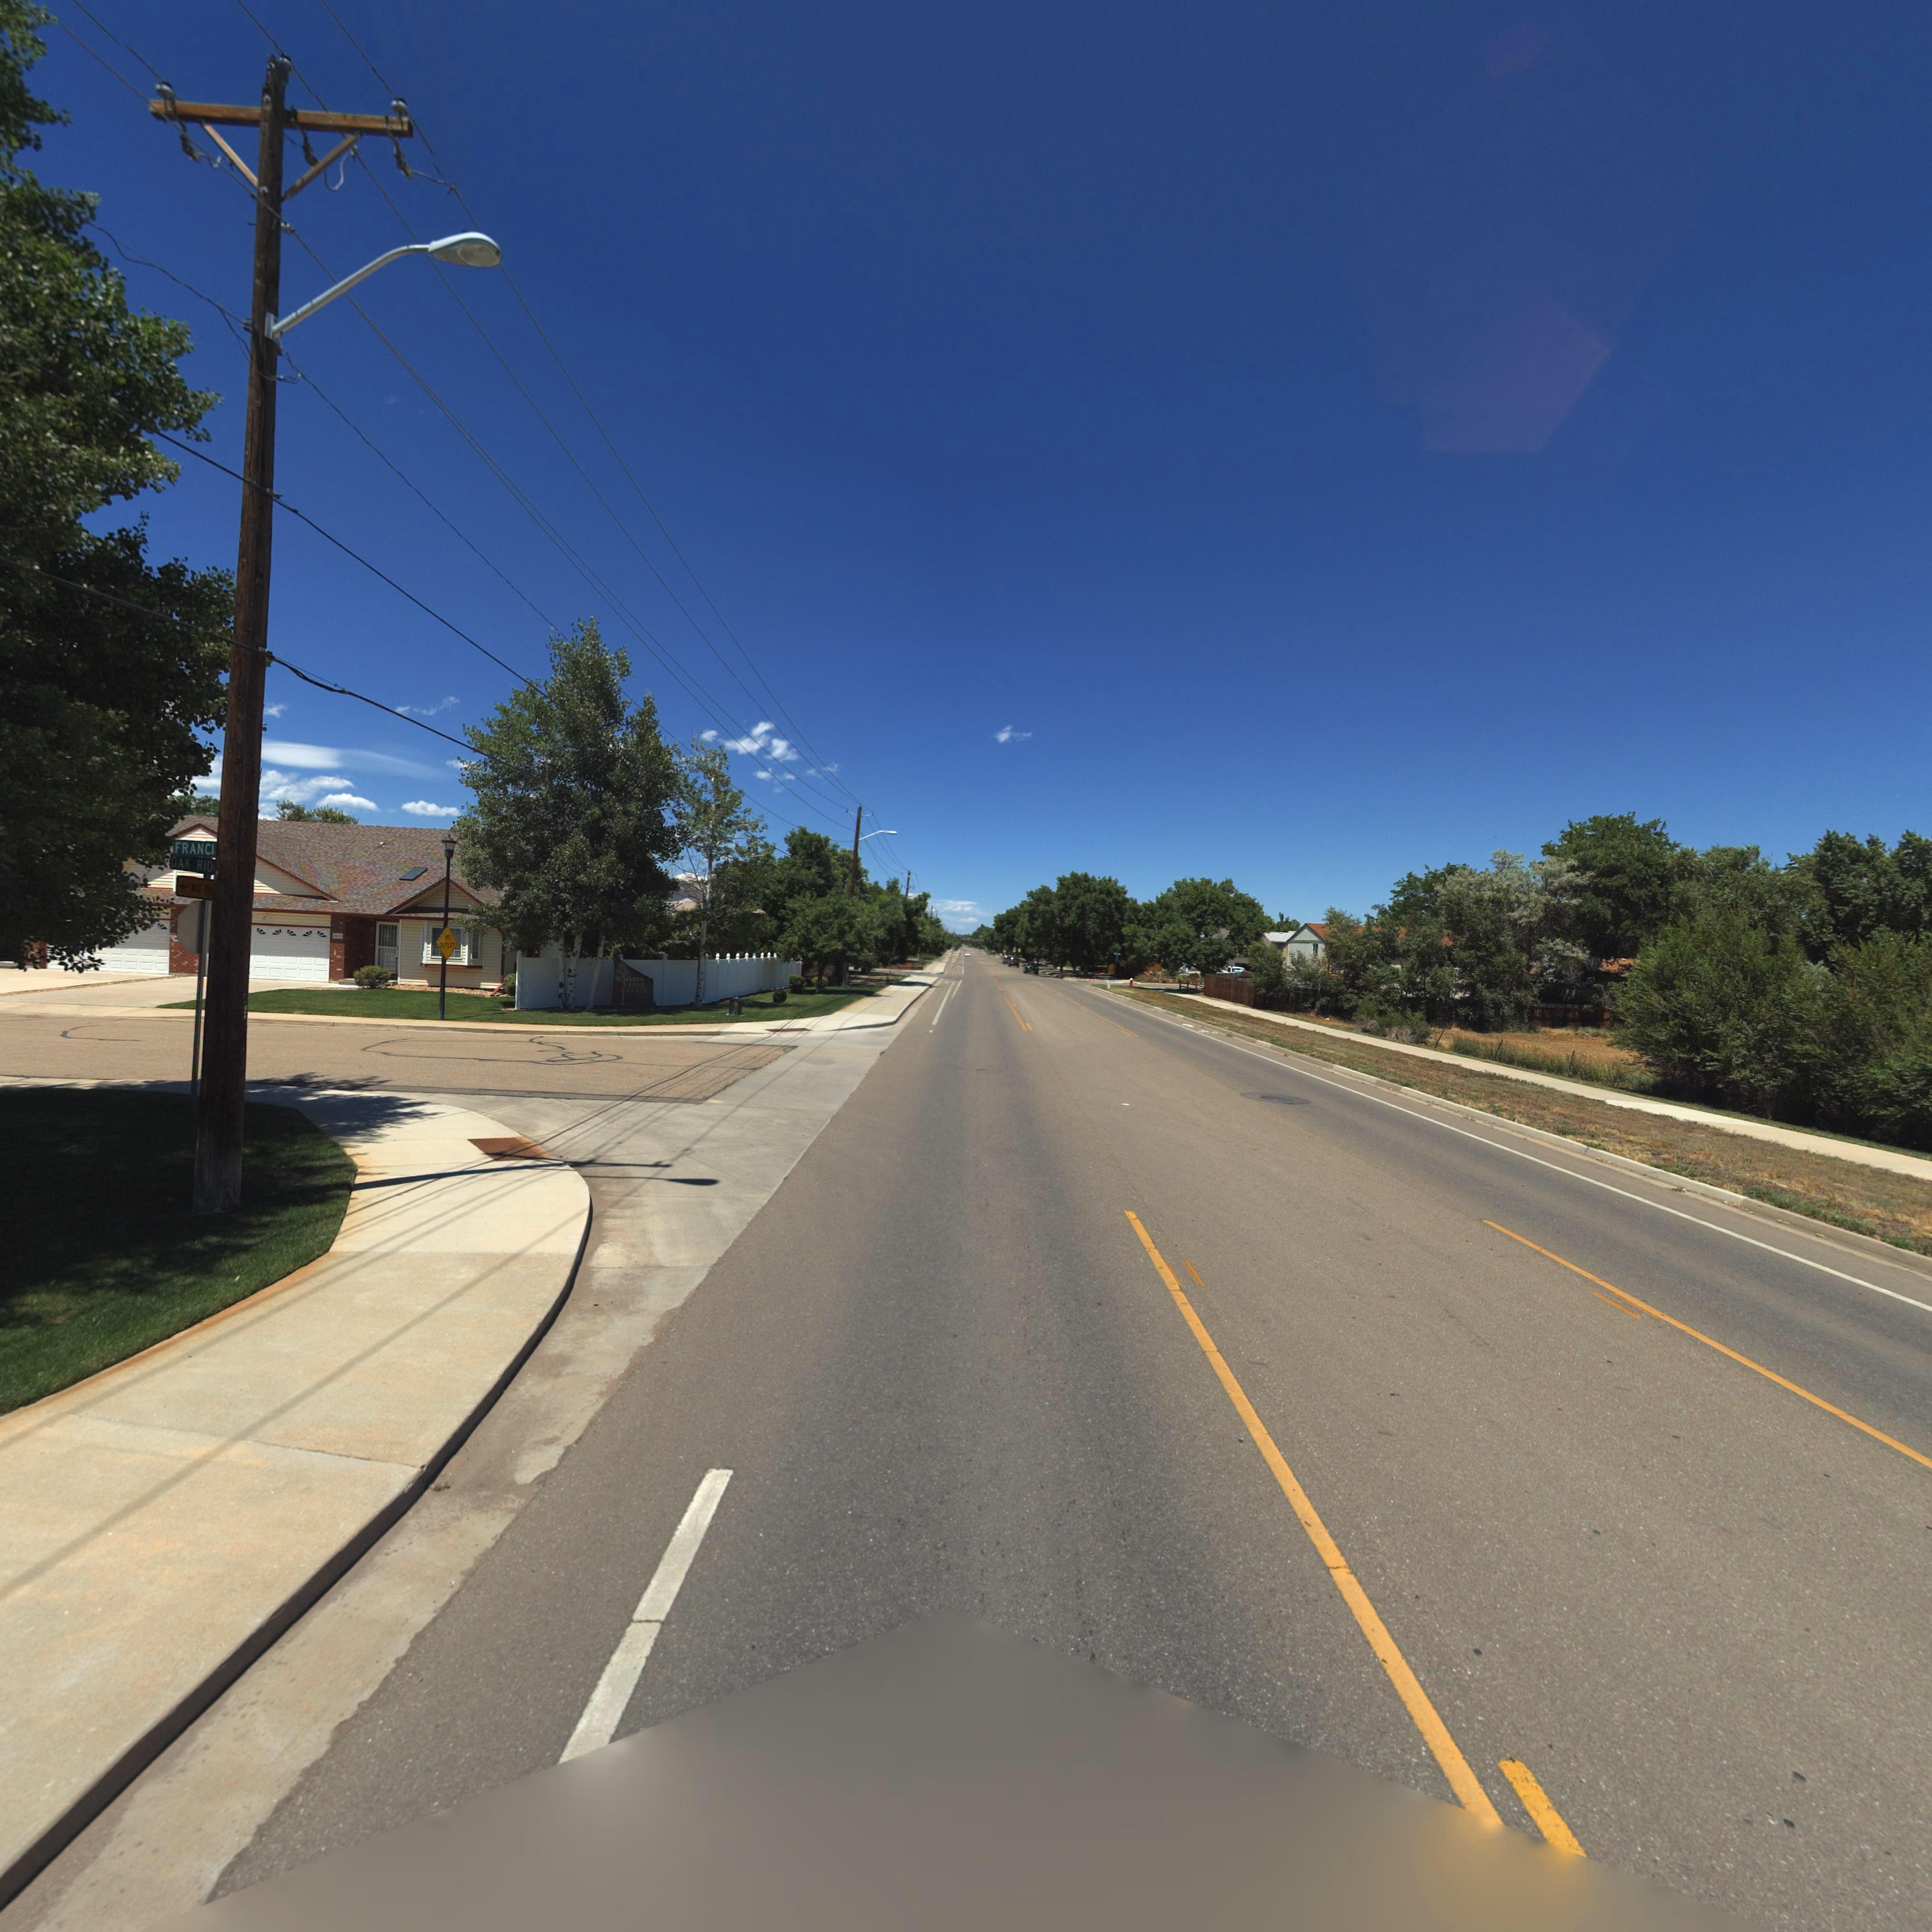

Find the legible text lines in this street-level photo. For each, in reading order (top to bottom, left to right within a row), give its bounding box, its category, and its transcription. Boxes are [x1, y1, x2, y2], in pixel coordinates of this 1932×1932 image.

[174, 842, 217, 856] StreetName: FRANCI*
[170, 855, 214, 873] StreetName: OAK RID